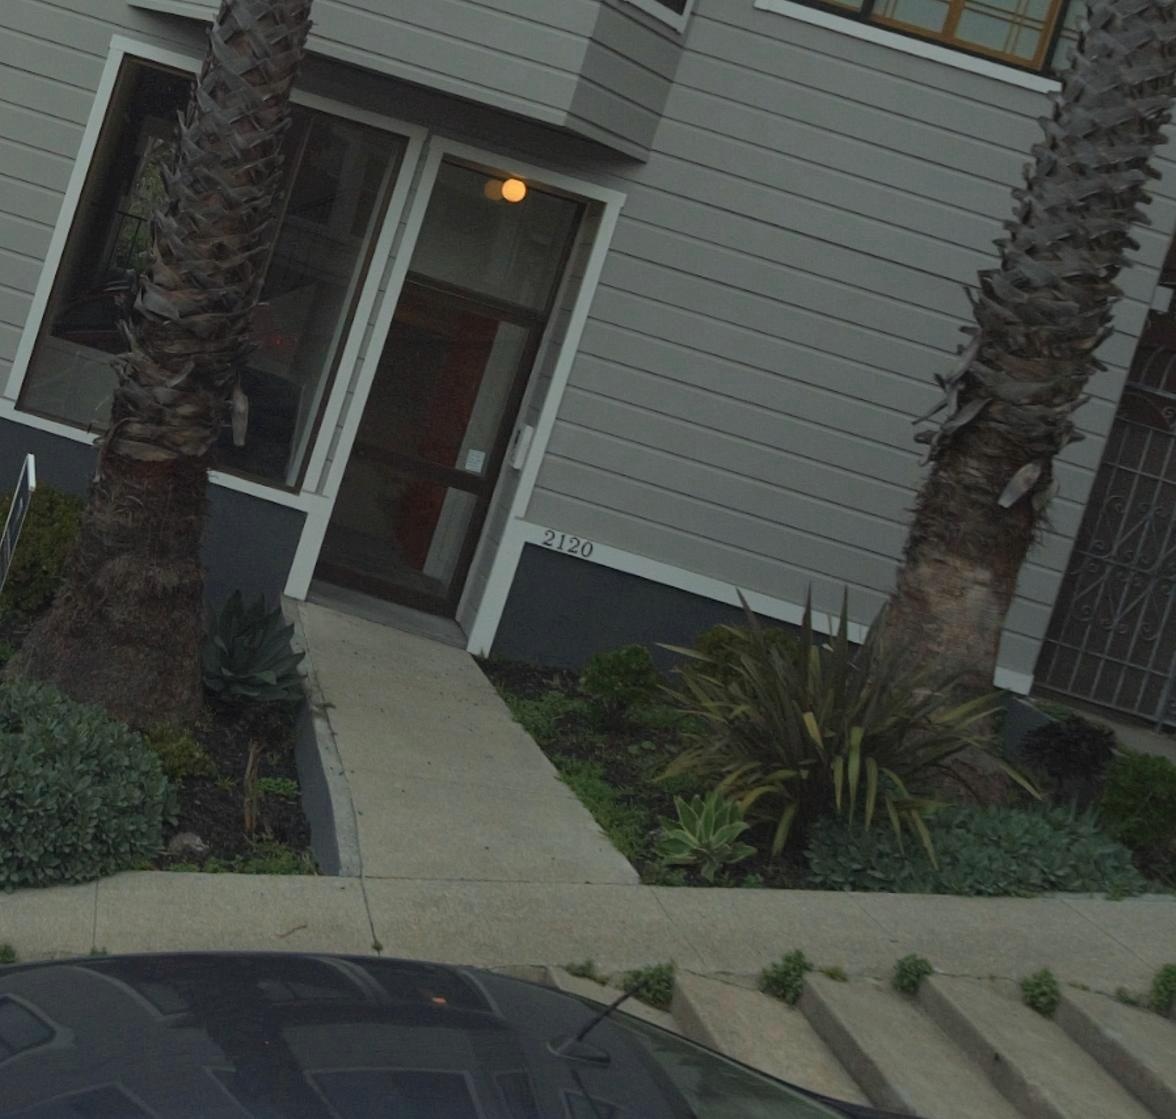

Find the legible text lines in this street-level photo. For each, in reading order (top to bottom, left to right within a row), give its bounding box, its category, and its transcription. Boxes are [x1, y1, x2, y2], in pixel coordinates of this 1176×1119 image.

[539, 527, 597, 560] StreetNumber: 2120